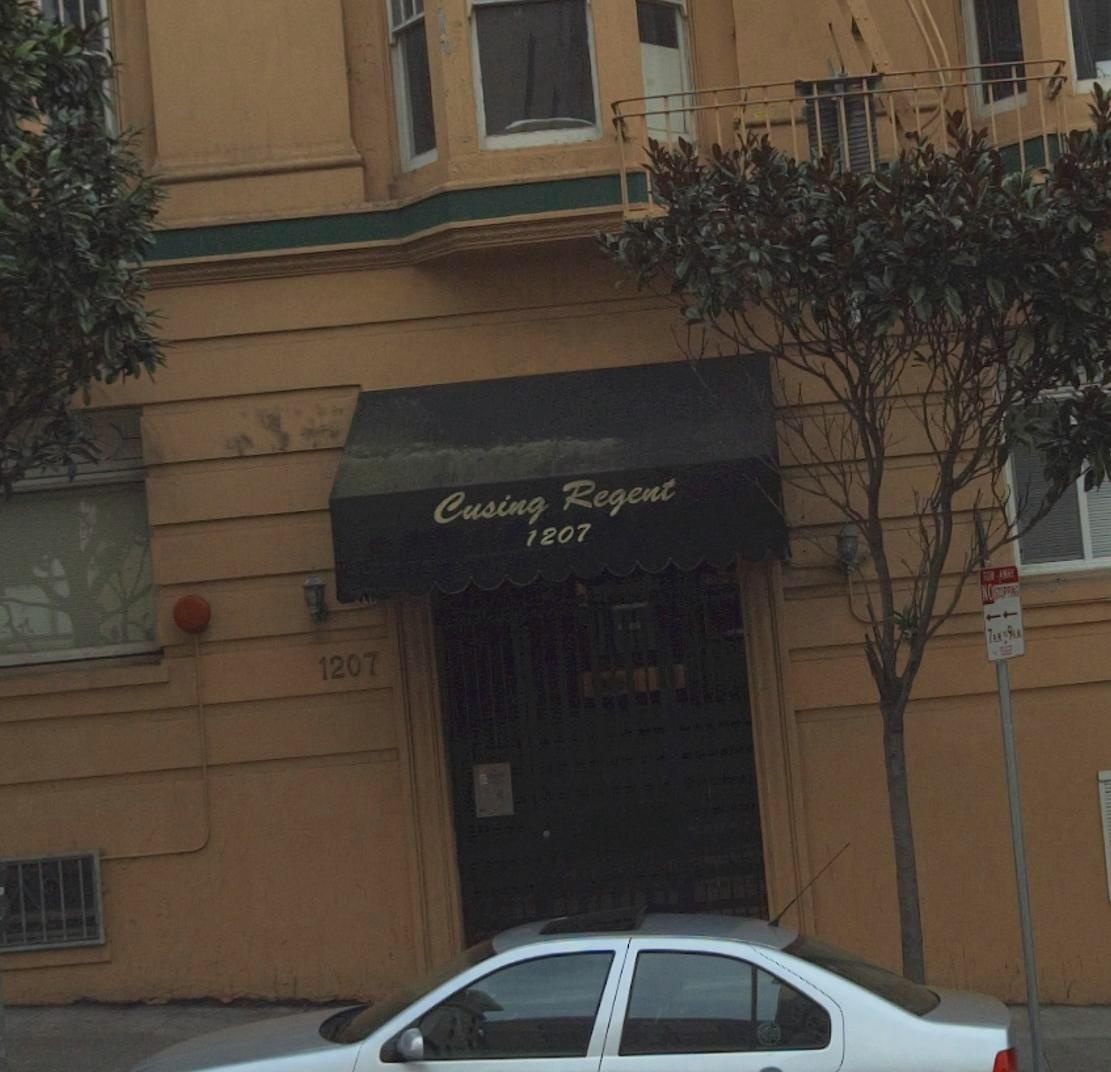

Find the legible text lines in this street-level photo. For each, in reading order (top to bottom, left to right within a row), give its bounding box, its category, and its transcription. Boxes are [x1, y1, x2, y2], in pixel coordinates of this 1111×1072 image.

[428, 474, 684, 528] BusinessName: Cusing Regent
[519, 518, 599, 551] StreetNumber: 1207
[980, 569, 998, 584] None: TO* 
[979, 582, 1021, 605] None: NO STOPP*NG
[984, 621, 1024, 646] None: 7A* **9A*
[311, 646, 385, 687] StreetNumber: 1207